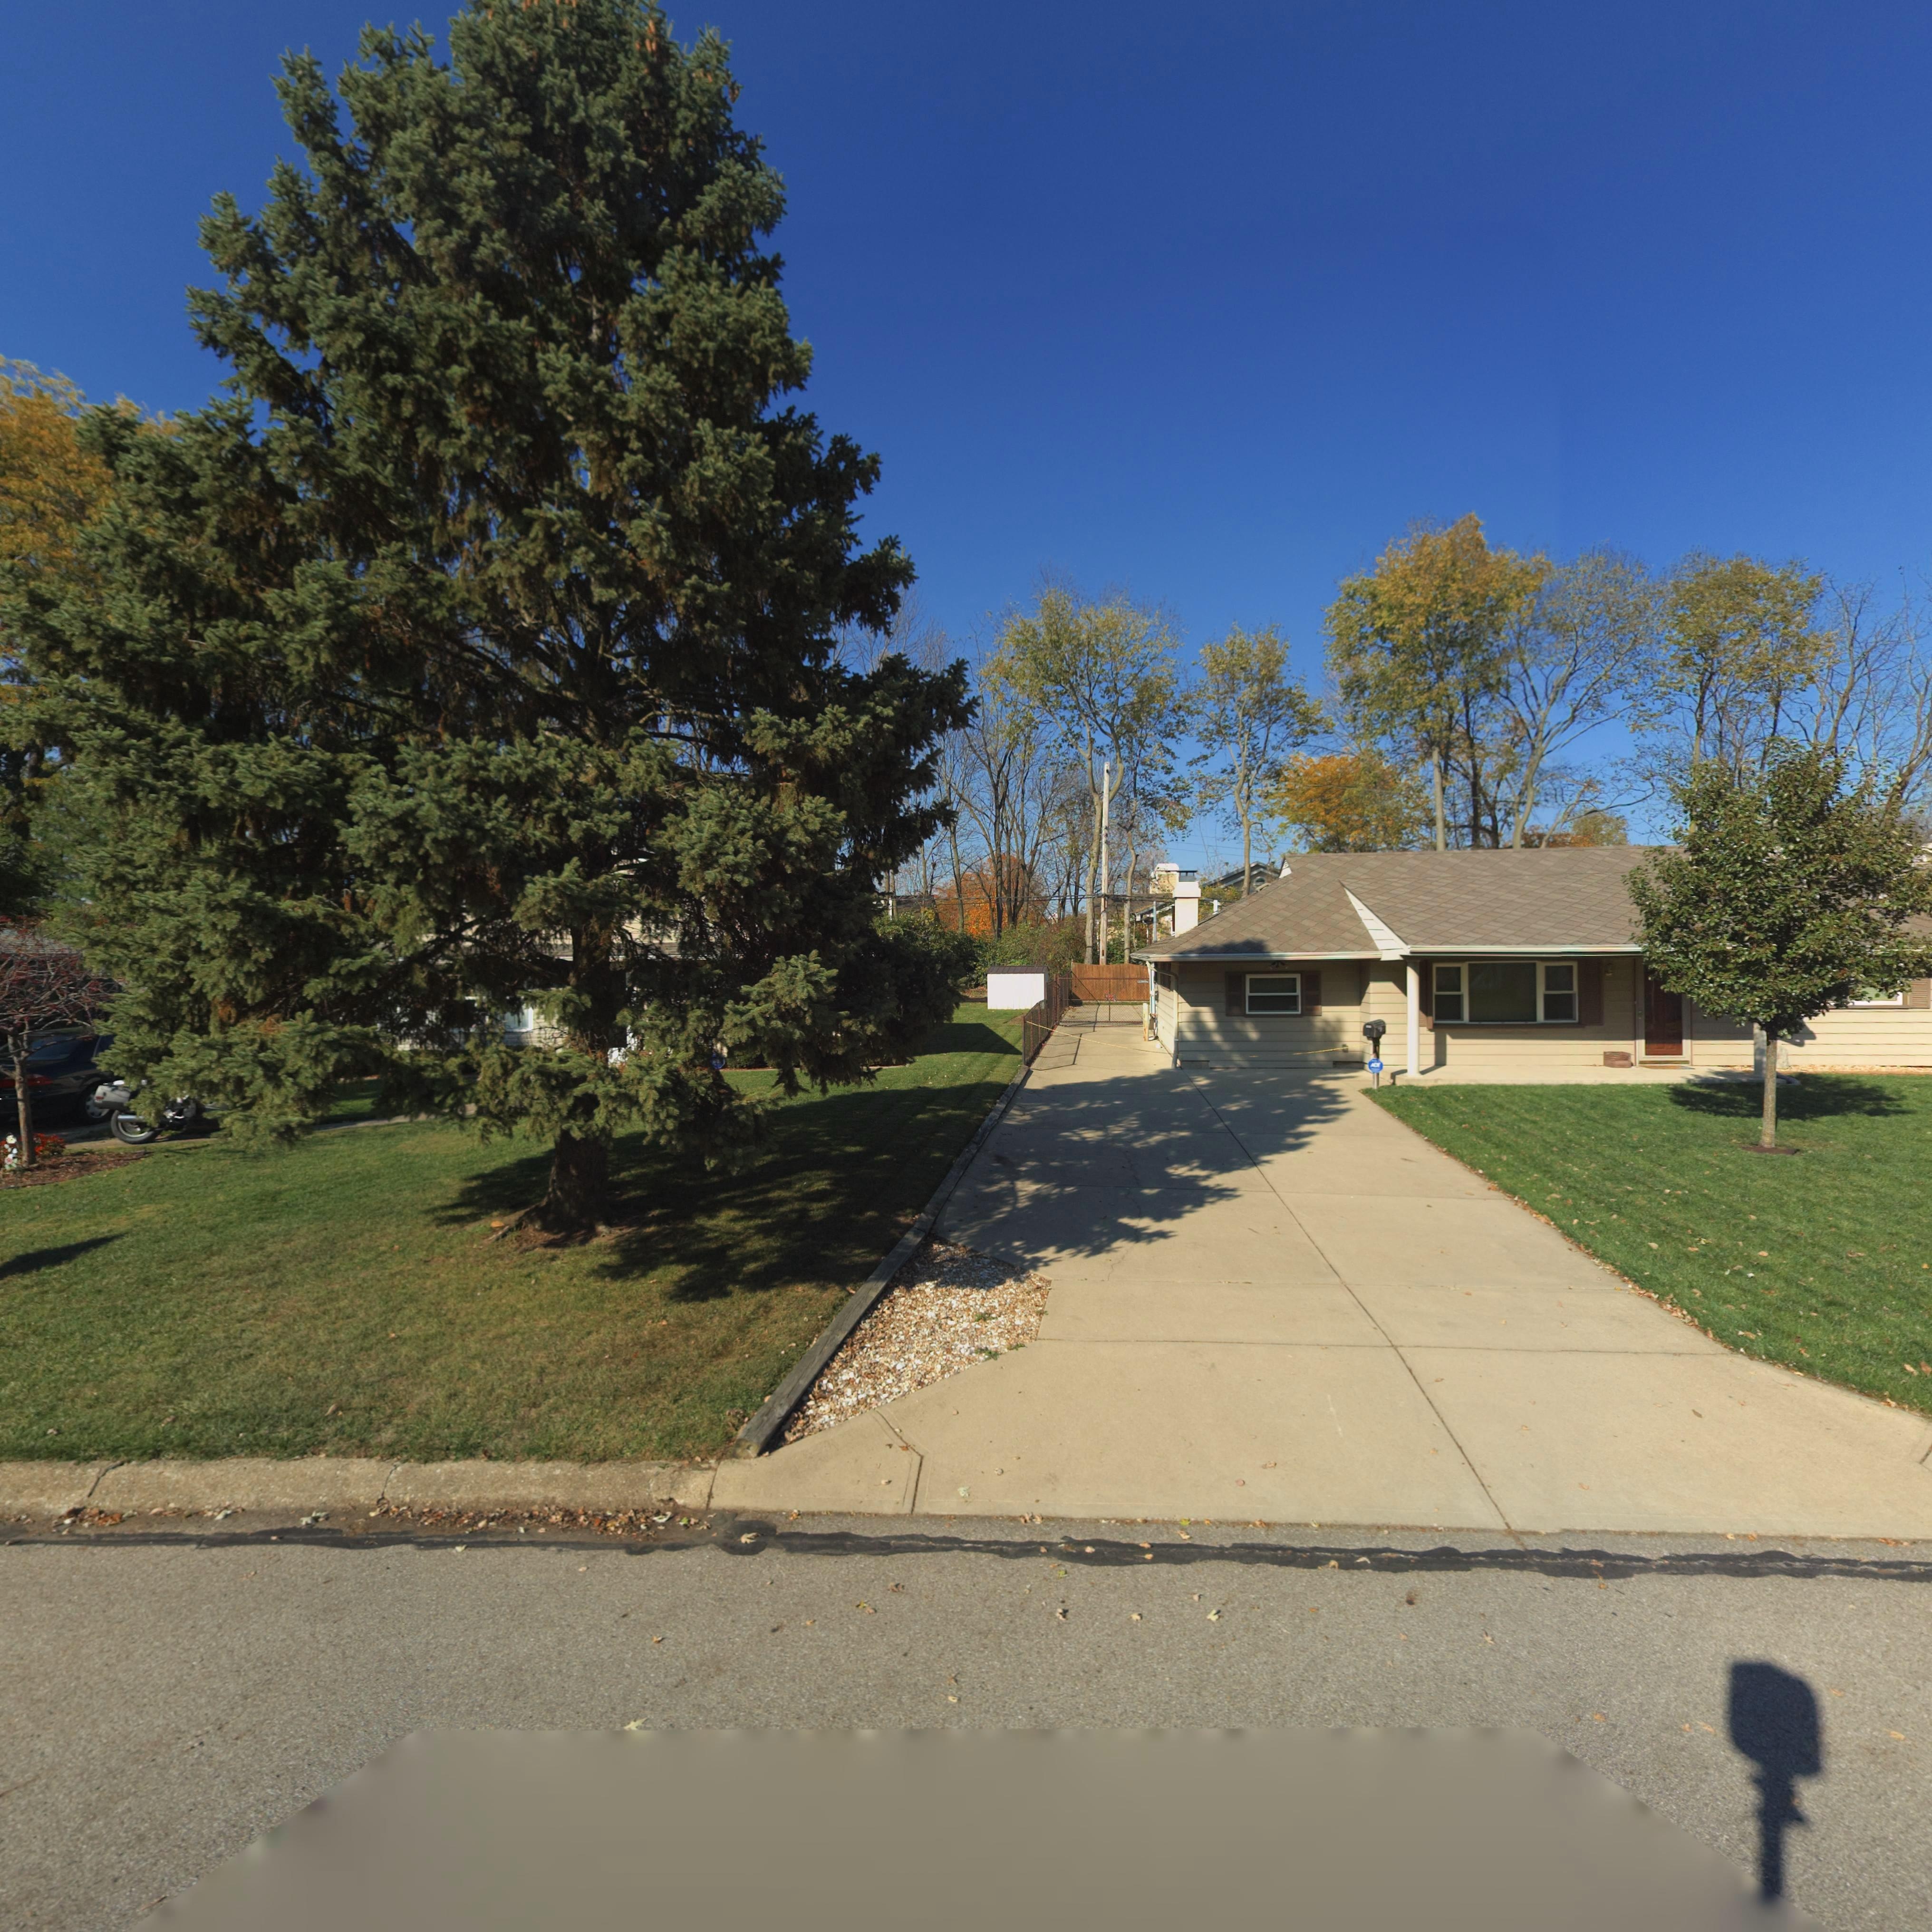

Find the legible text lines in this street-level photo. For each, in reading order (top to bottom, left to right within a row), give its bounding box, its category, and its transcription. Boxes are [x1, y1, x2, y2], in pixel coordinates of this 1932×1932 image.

[1368, 1063, 1381, 1068] None: ADT